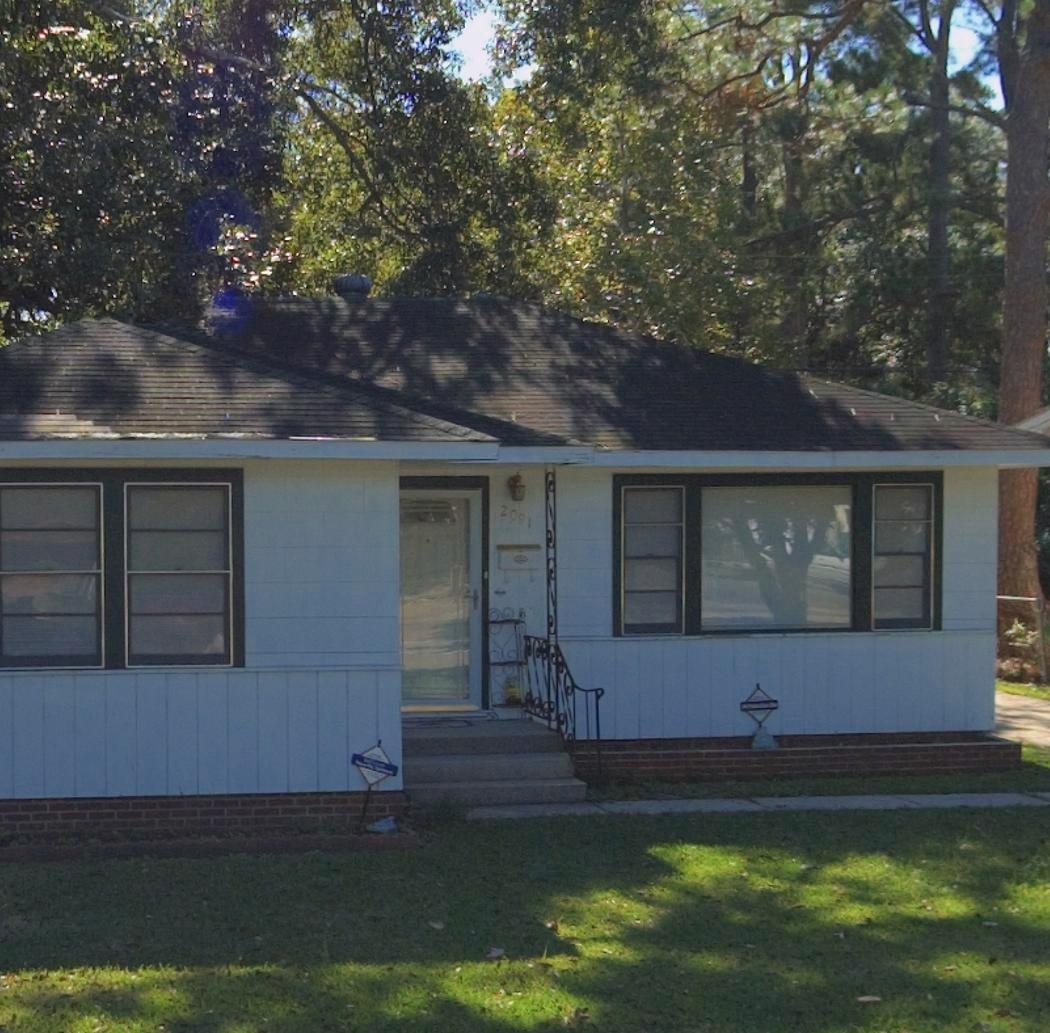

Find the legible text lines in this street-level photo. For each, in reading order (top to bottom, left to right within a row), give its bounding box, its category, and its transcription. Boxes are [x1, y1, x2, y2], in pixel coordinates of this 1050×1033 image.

[497, 501, 534, 530] StreetNumber: 2091